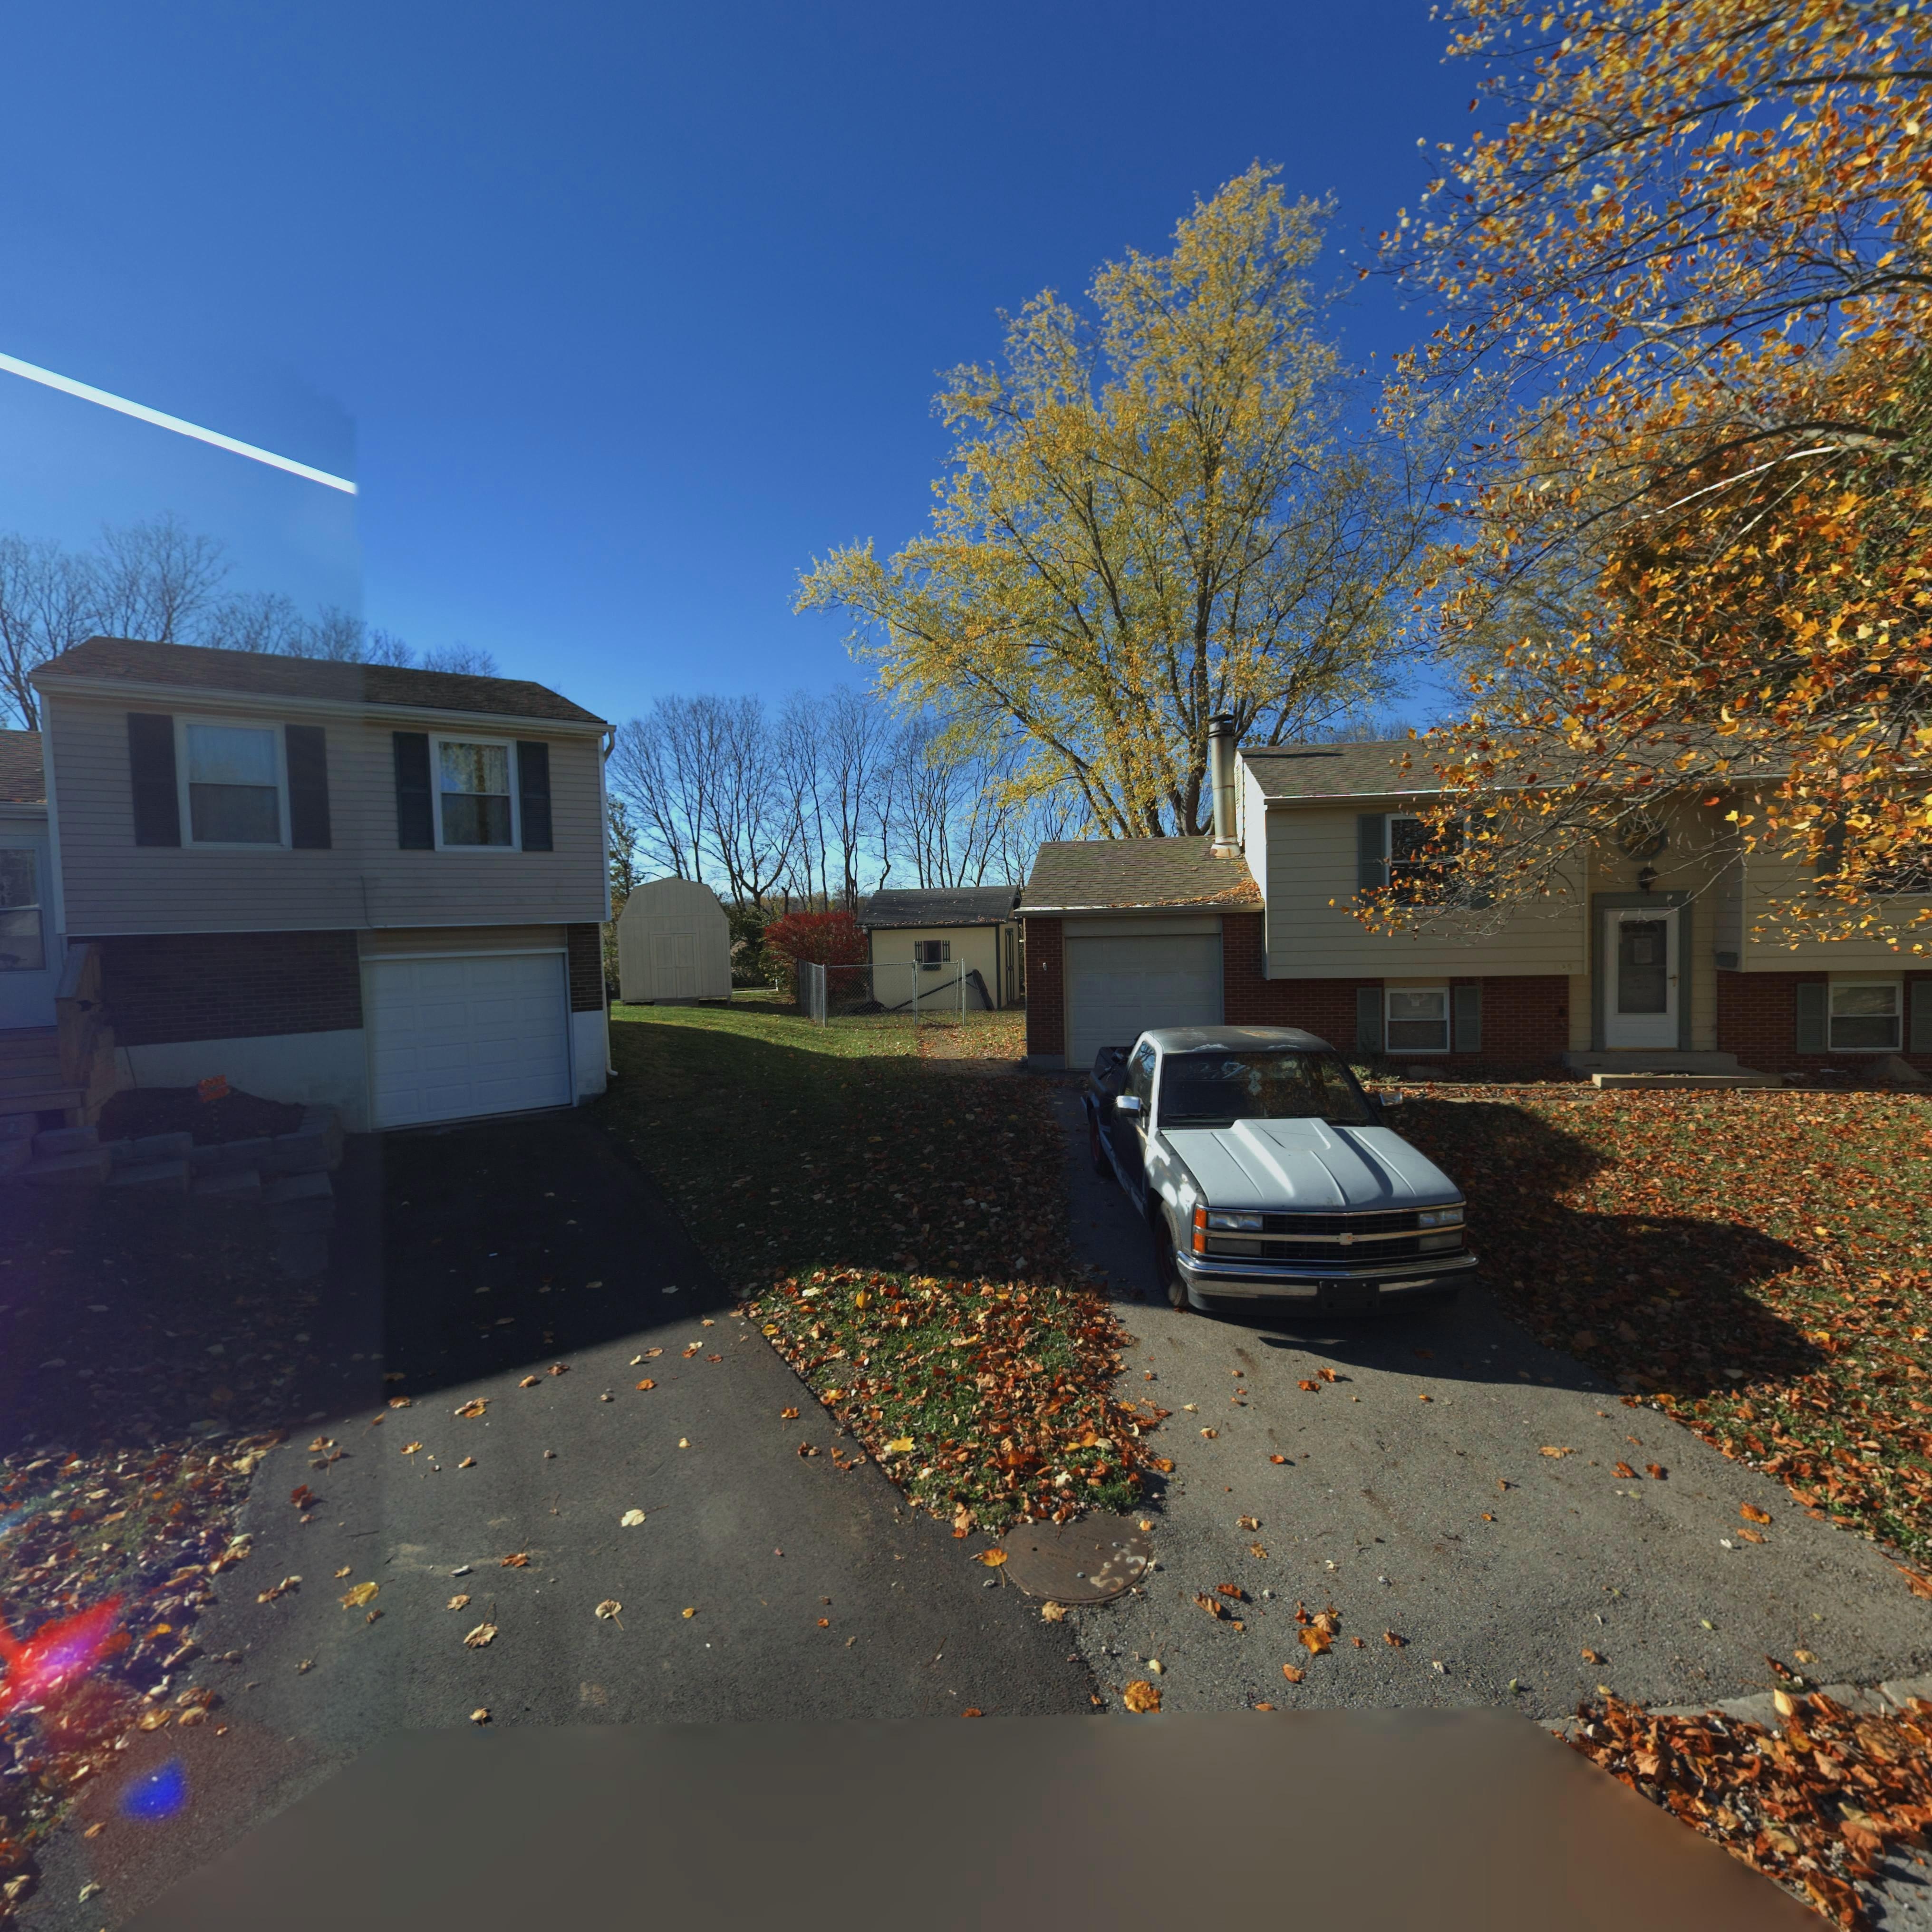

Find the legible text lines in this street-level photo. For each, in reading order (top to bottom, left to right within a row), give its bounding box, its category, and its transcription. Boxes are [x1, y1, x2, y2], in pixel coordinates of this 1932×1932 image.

[1553, 962, 1573, 972] StreetNumber: 105